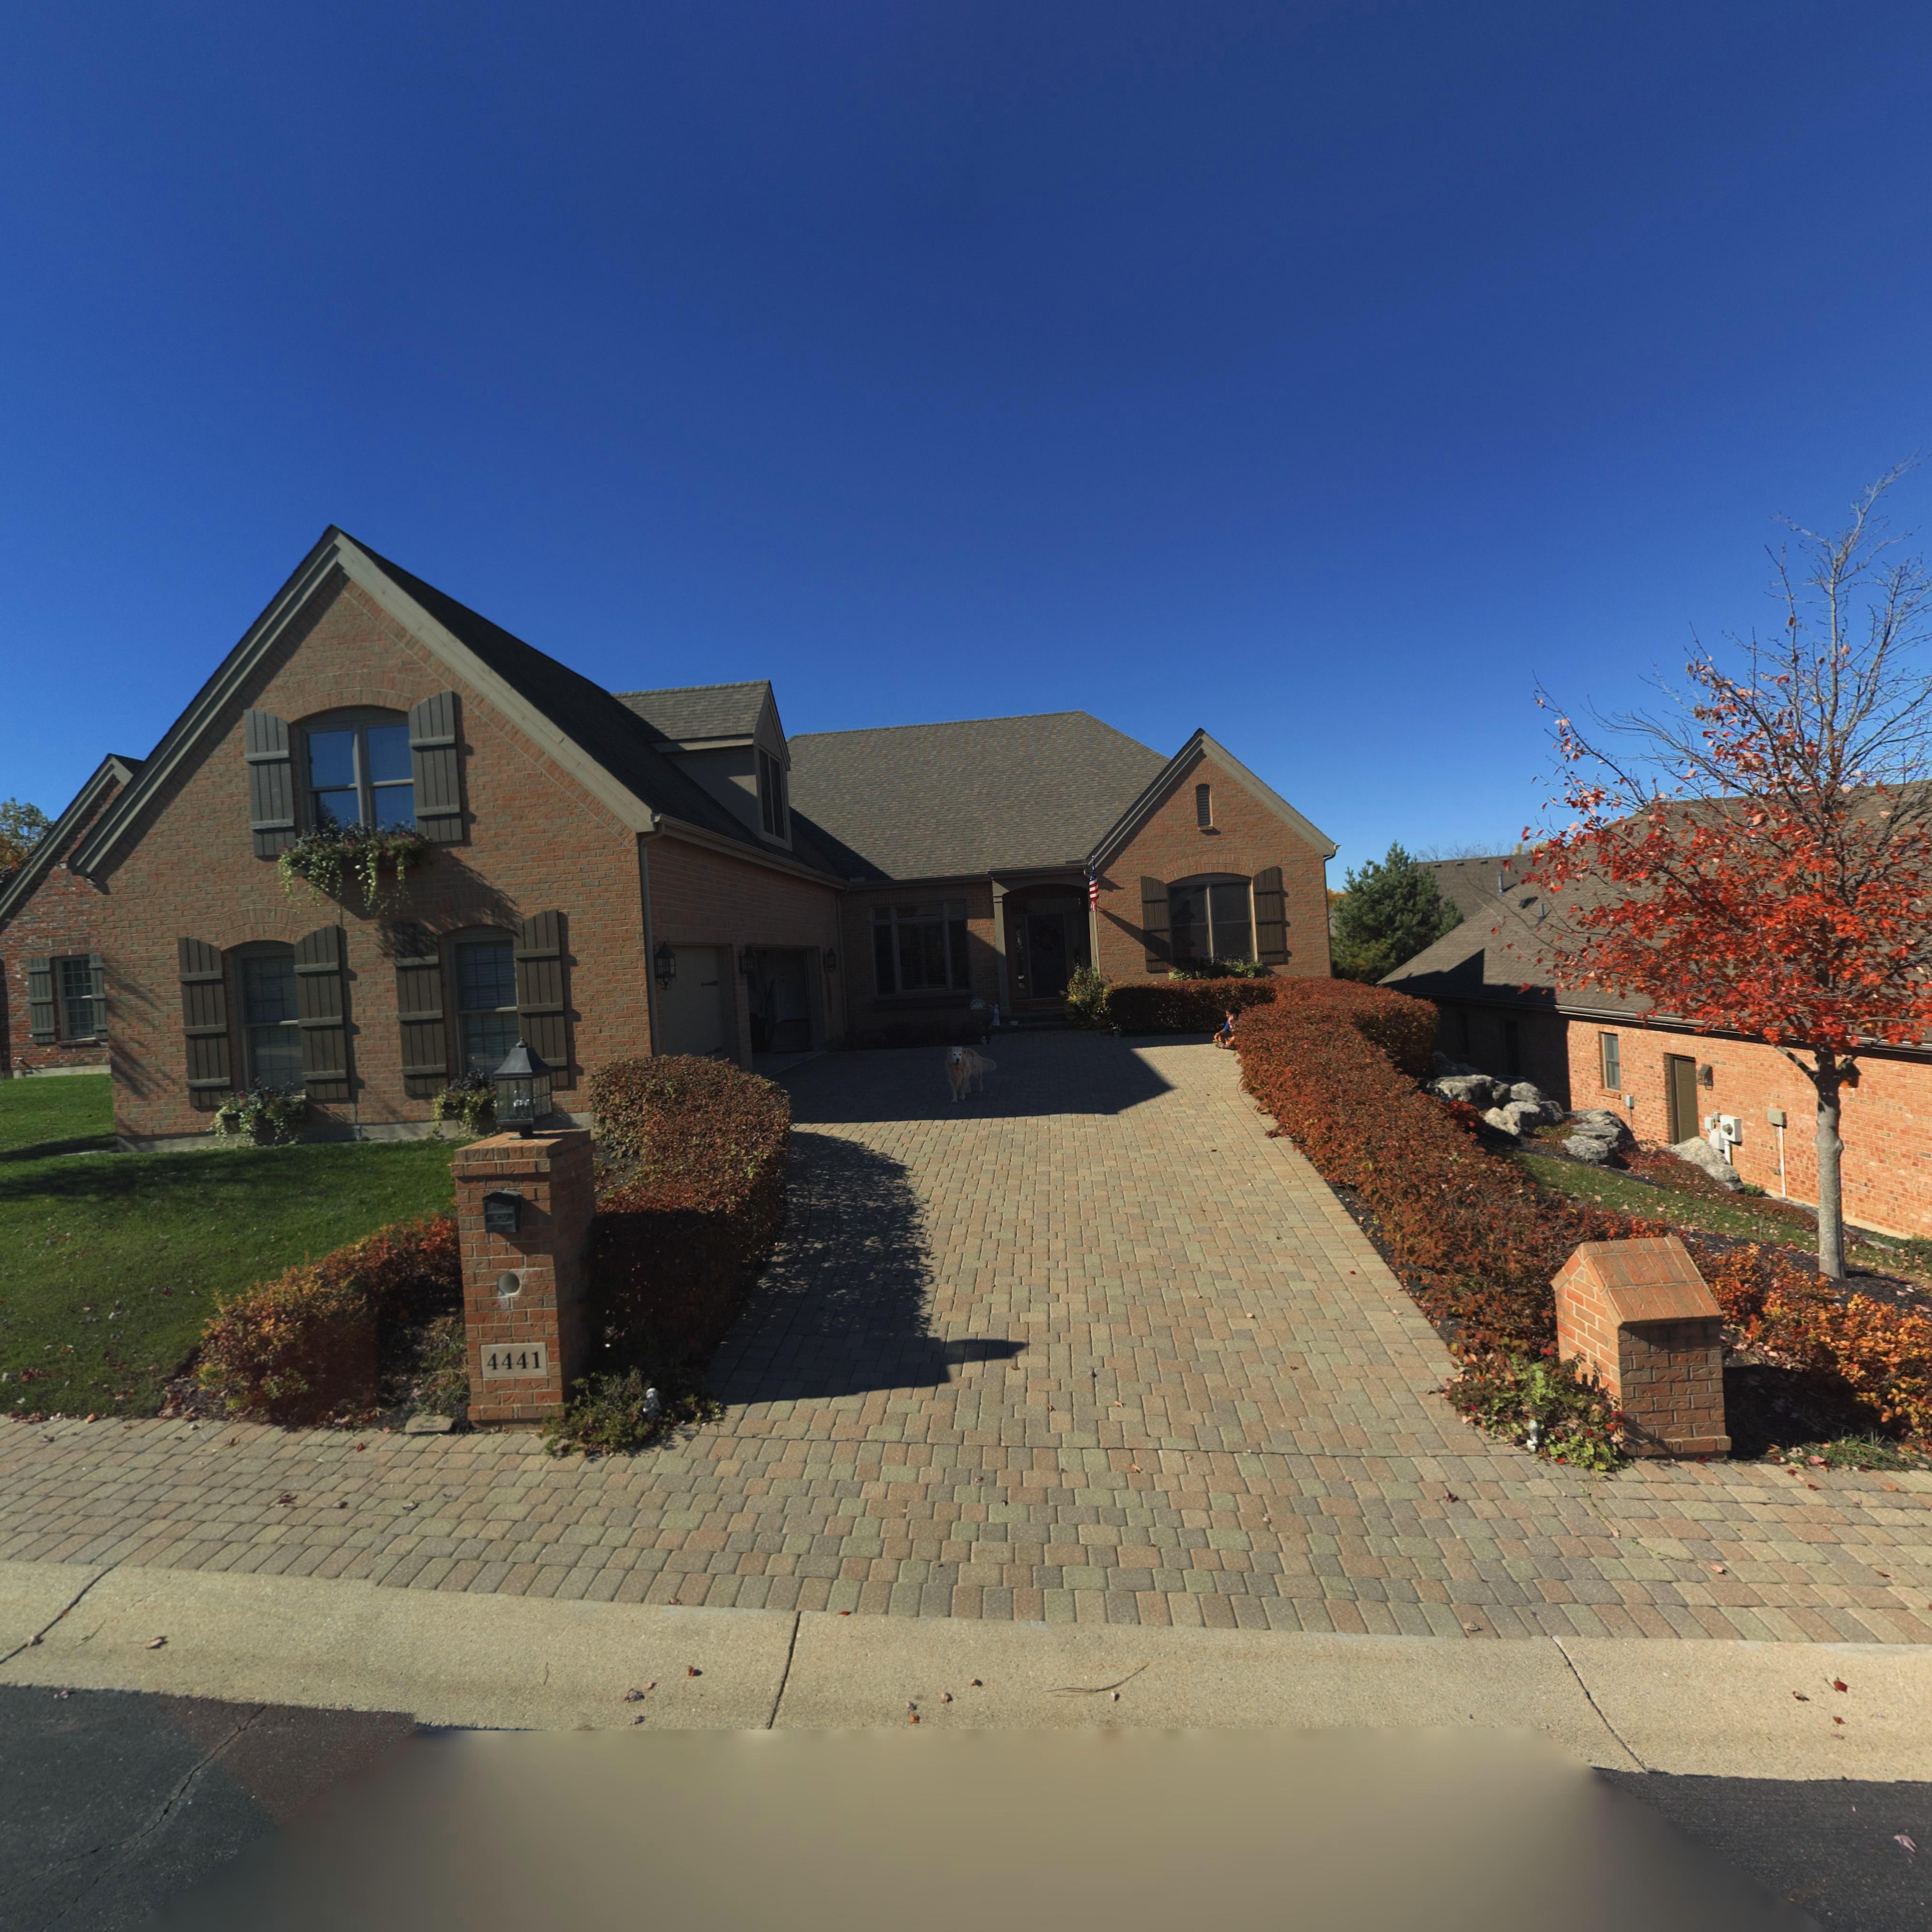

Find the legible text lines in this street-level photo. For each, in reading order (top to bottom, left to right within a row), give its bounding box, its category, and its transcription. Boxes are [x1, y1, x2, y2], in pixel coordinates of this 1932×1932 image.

[485, 1349, 543, 1372] StreetNumber: 4441